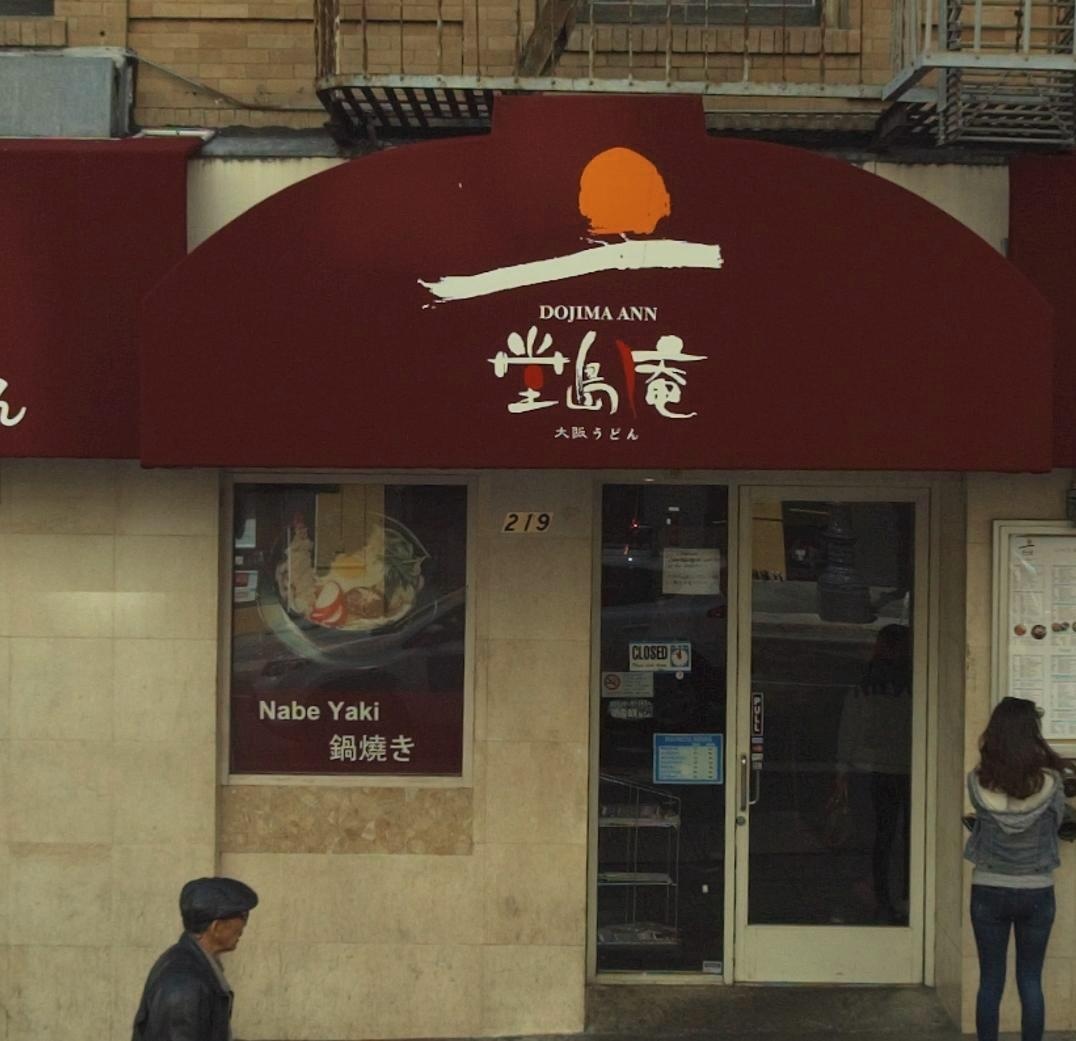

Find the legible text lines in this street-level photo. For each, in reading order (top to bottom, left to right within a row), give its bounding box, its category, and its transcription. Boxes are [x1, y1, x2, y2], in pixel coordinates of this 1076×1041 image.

[534, 298, 663, 329] BusinessName: DOKIMAANN
[501, 509, 556, 535] StreetNumber: 219
[629, 642, 672, 663] None: CLOSED
[254, 692, 387, 728] None: Nabe Yaki
[750, 690, 765, 736] None: PULL